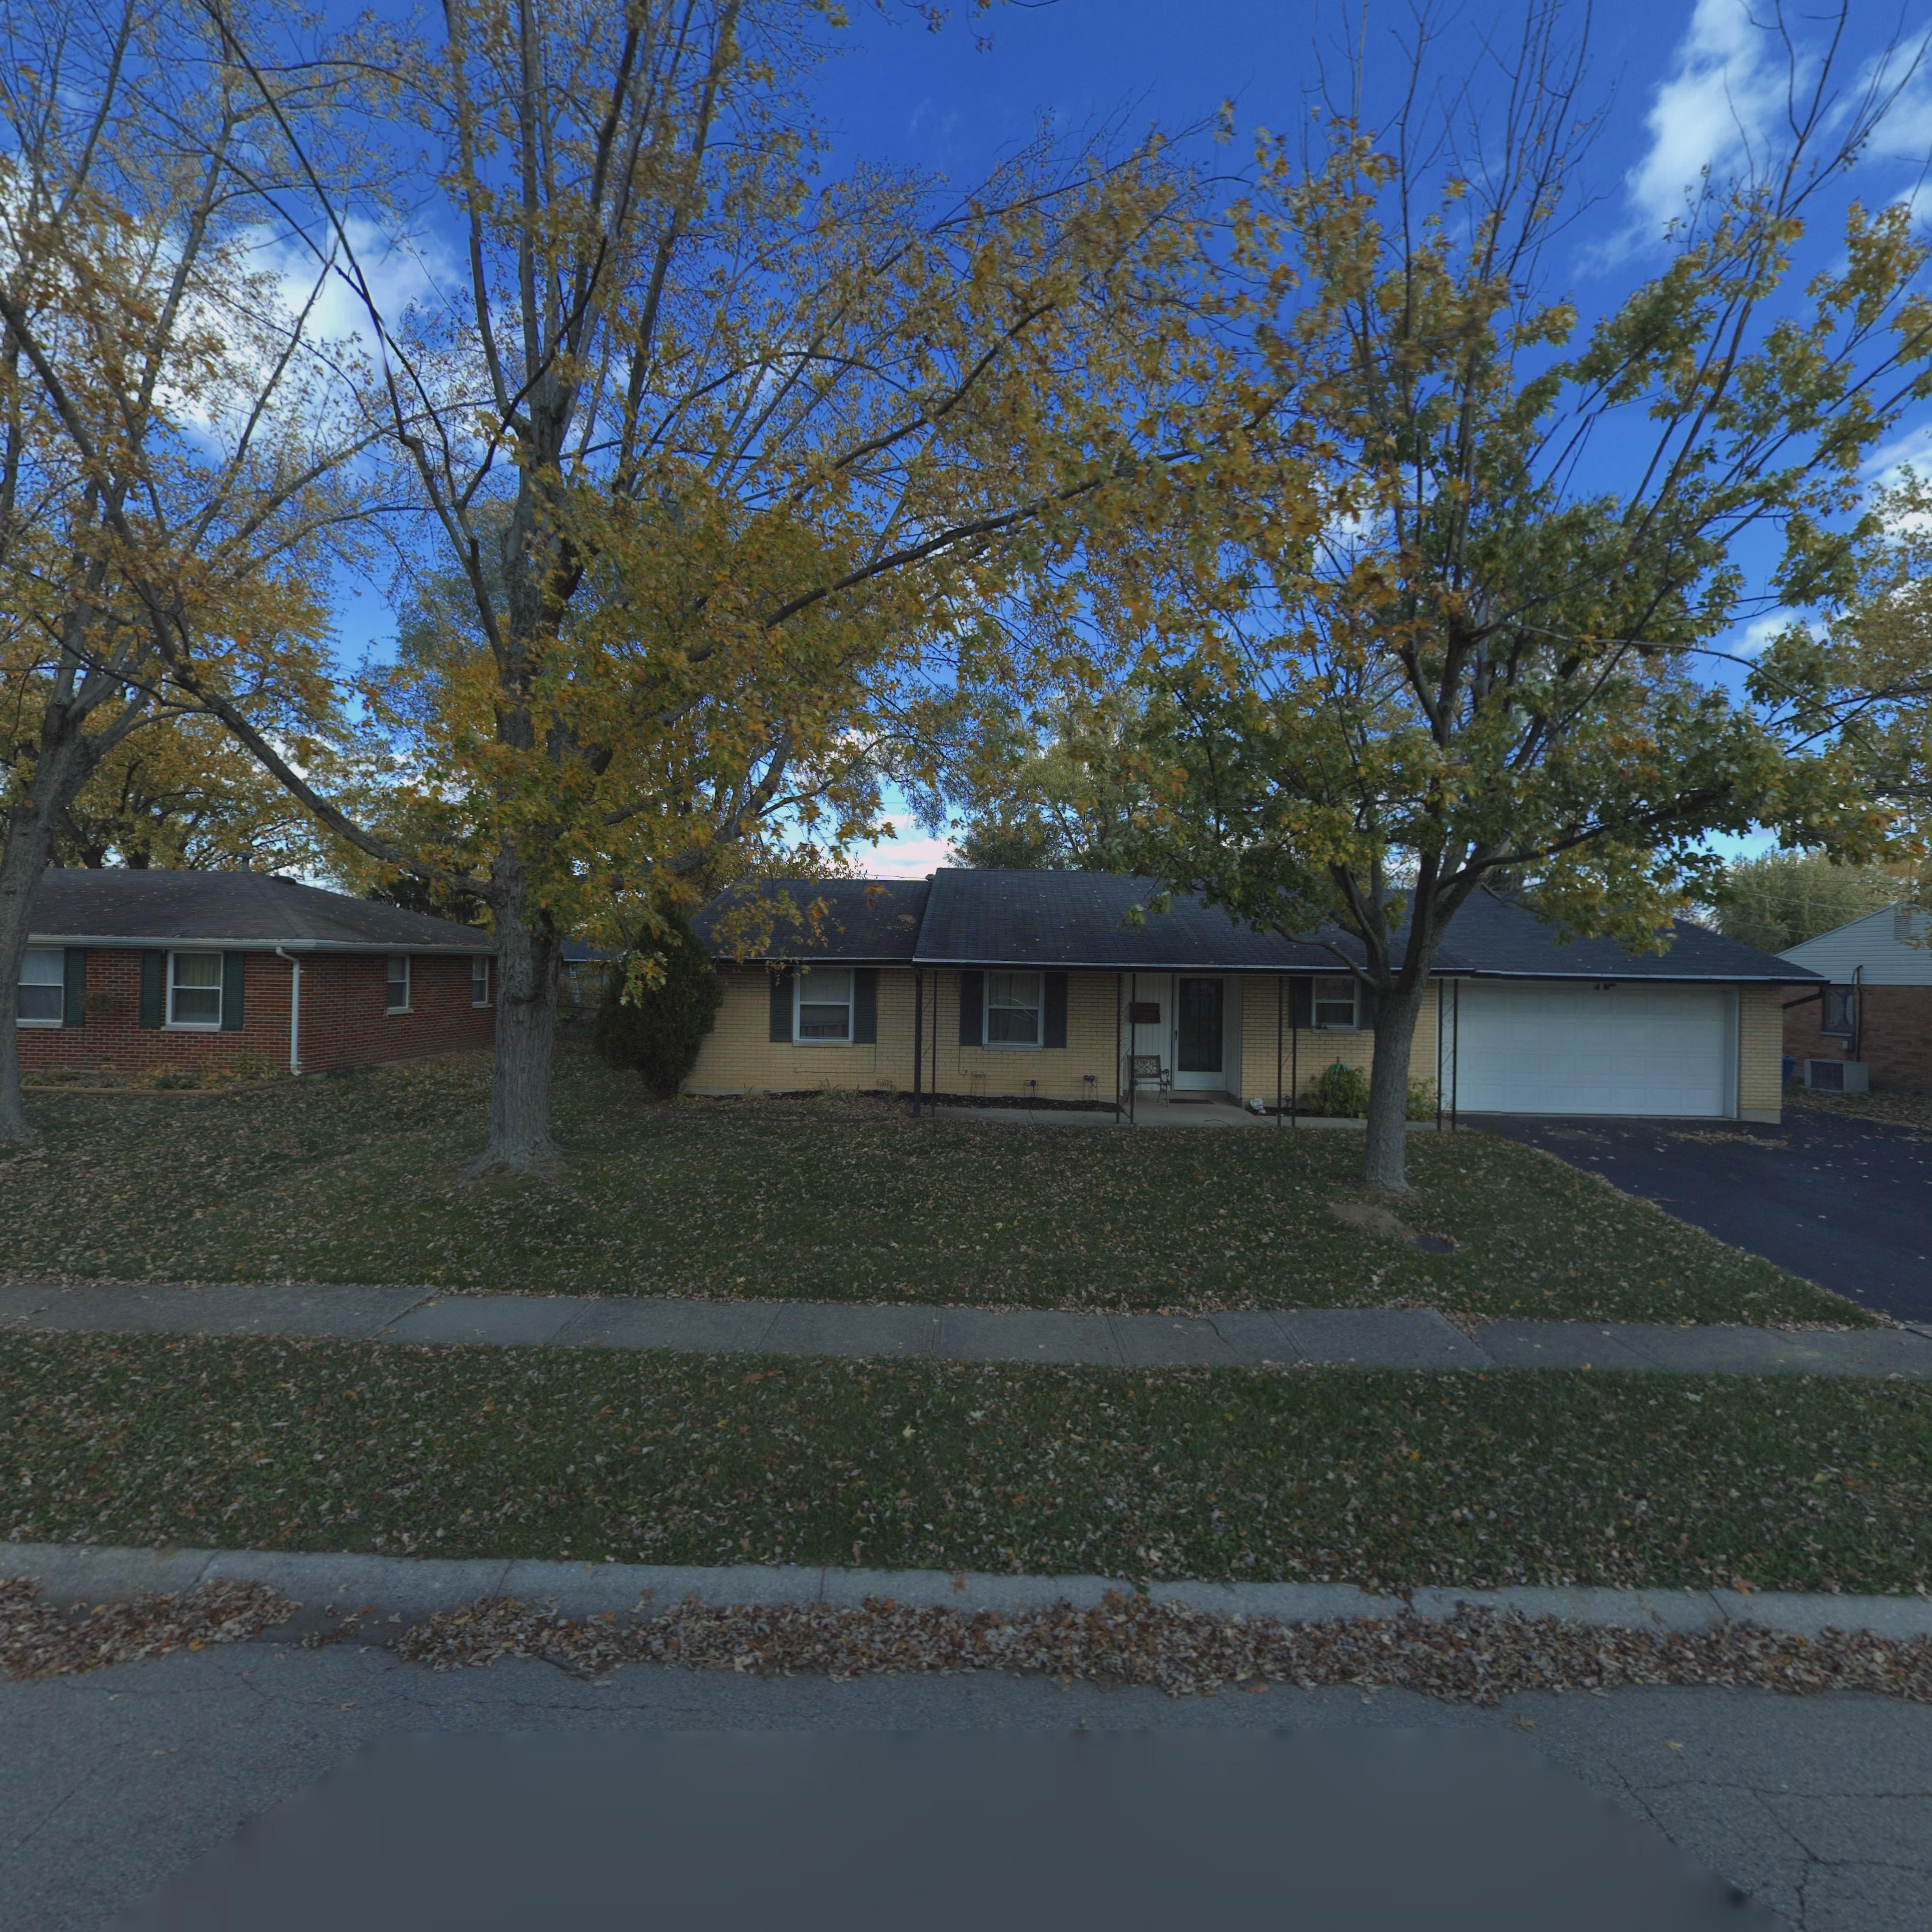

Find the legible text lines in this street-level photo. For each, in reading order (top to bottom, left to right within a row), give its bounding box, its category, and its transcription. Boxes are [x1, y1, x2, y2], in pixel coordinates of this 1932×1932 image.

[1140, 1016, 1152, 1024] StreetNumber: 85